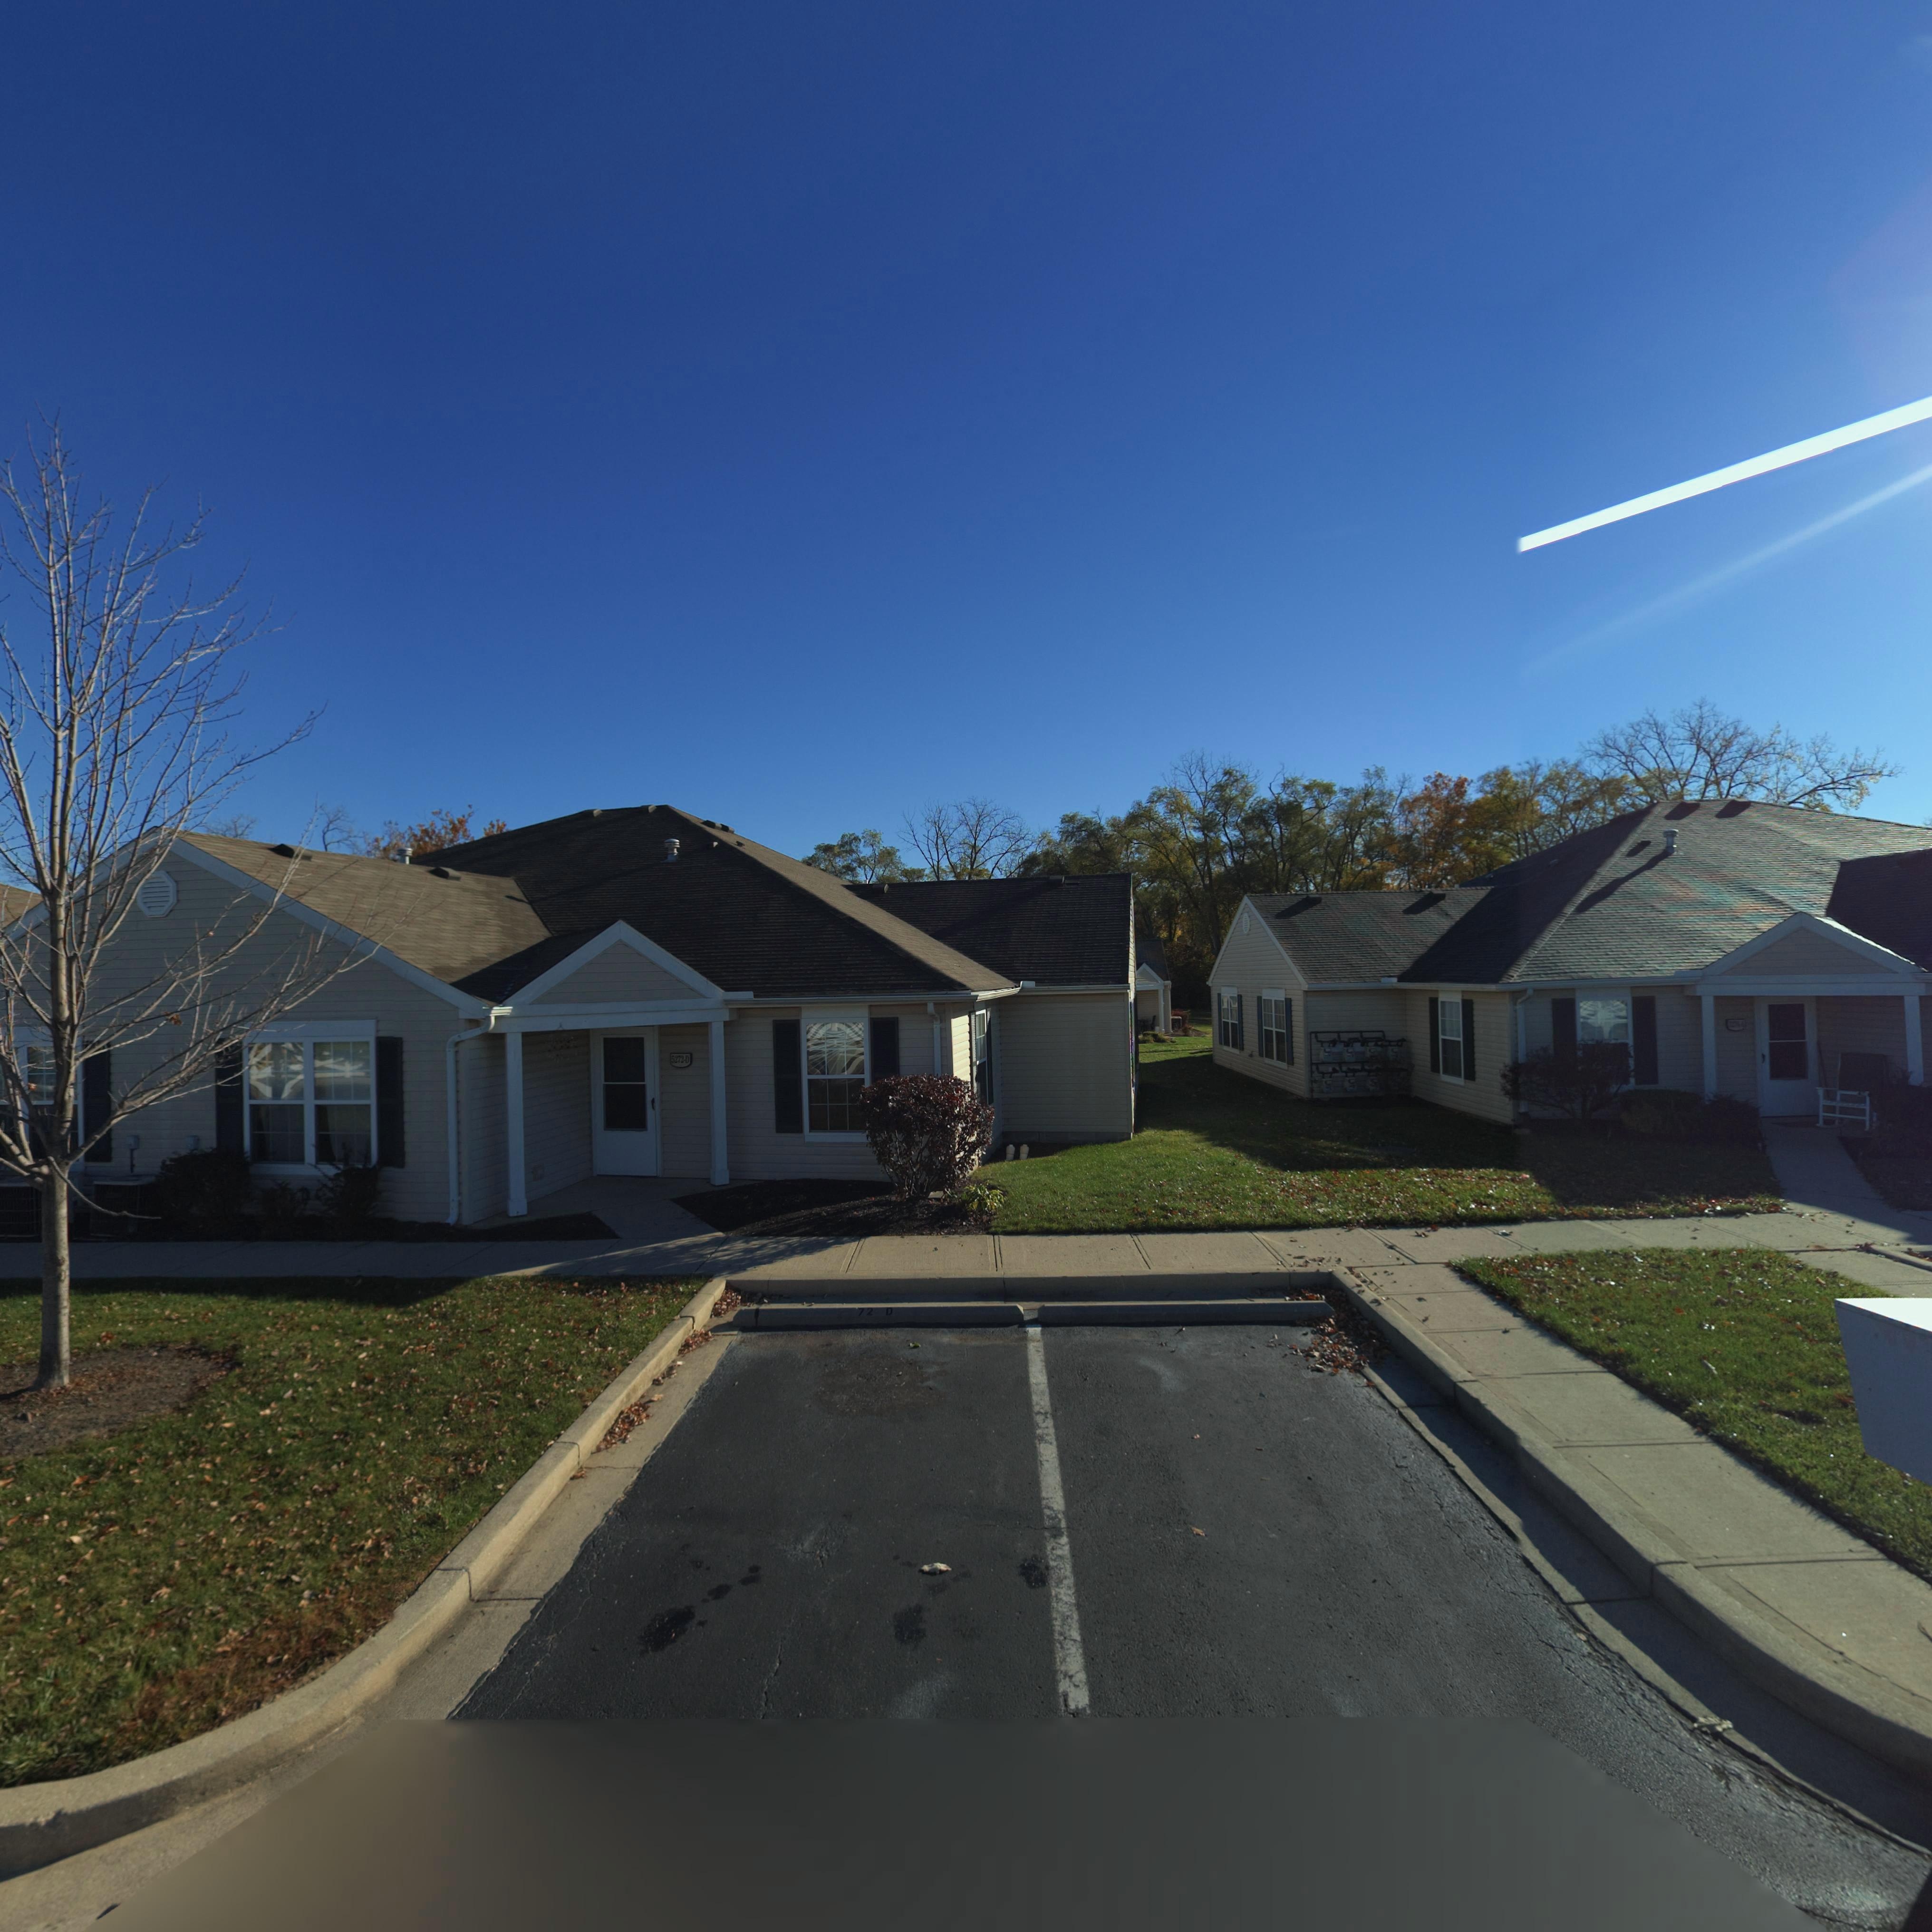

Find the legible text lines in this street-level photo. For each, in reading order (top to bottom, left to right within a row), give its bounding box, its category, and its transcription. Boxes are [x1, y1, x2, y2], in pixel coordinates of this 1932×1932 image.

[670, 1055, 689, 1063] StreetNumber: 5272-D